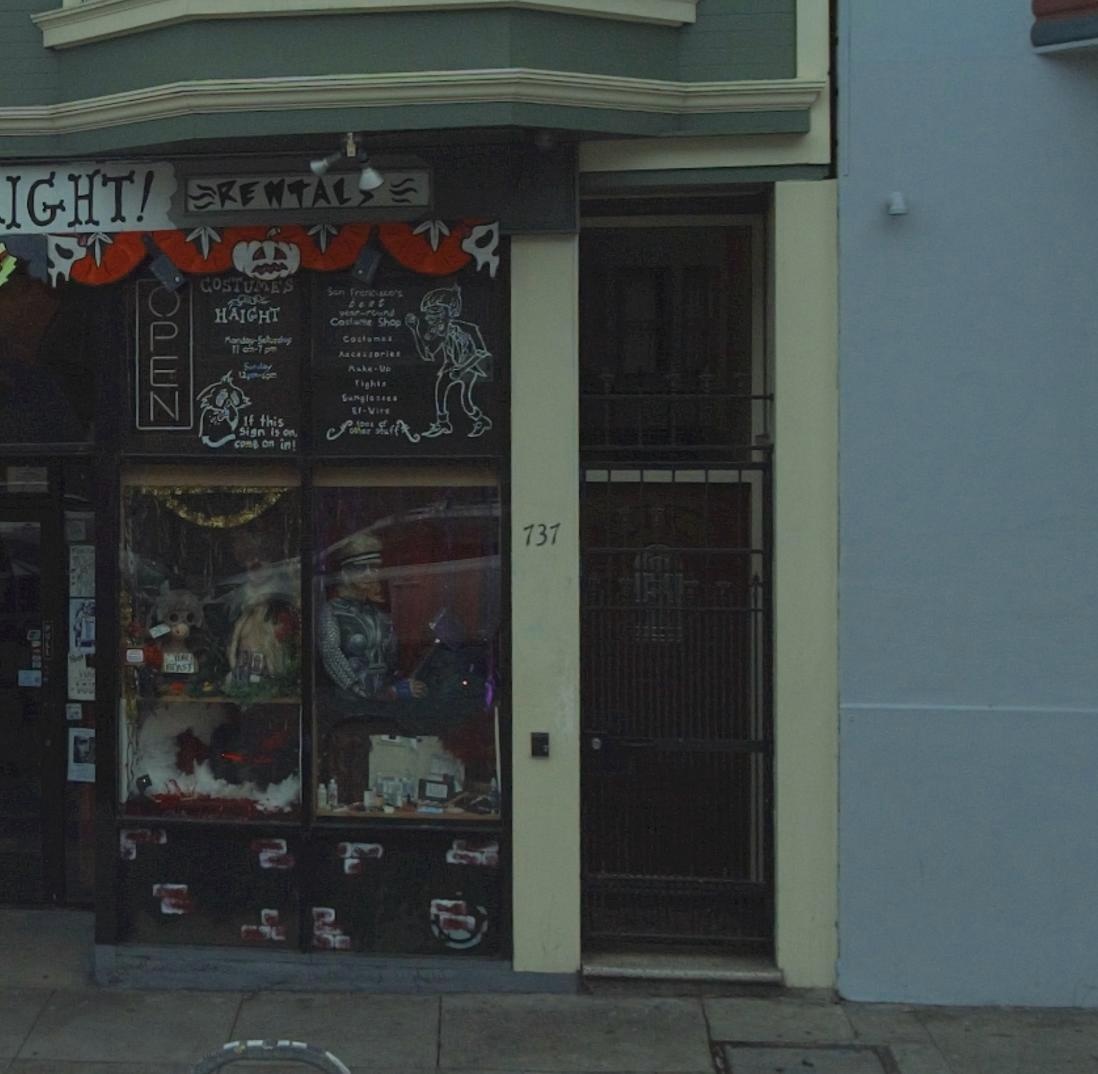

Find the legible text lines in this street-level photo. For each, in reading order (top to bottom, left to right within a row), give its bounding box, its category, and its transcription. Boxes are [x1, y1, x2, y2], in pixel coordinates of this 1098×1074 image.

[2, 165, 141, 233] BusinessName: IGHT
[214, 175, 355, 210] None: RENTAL
[197, 274, 296, 296] None: COSTUMES
[211, 304, 284, 327] StreetName: HAIGHT
[145, 280, 183, 425] None: OPEN
[241, 411, 286, 430] None: If this
[237, 424, 299, 440] None: Sign is on,
[231, 435, 297, 453] None: come on in!
[521, 520, 563, 549] StreetNumber: 737